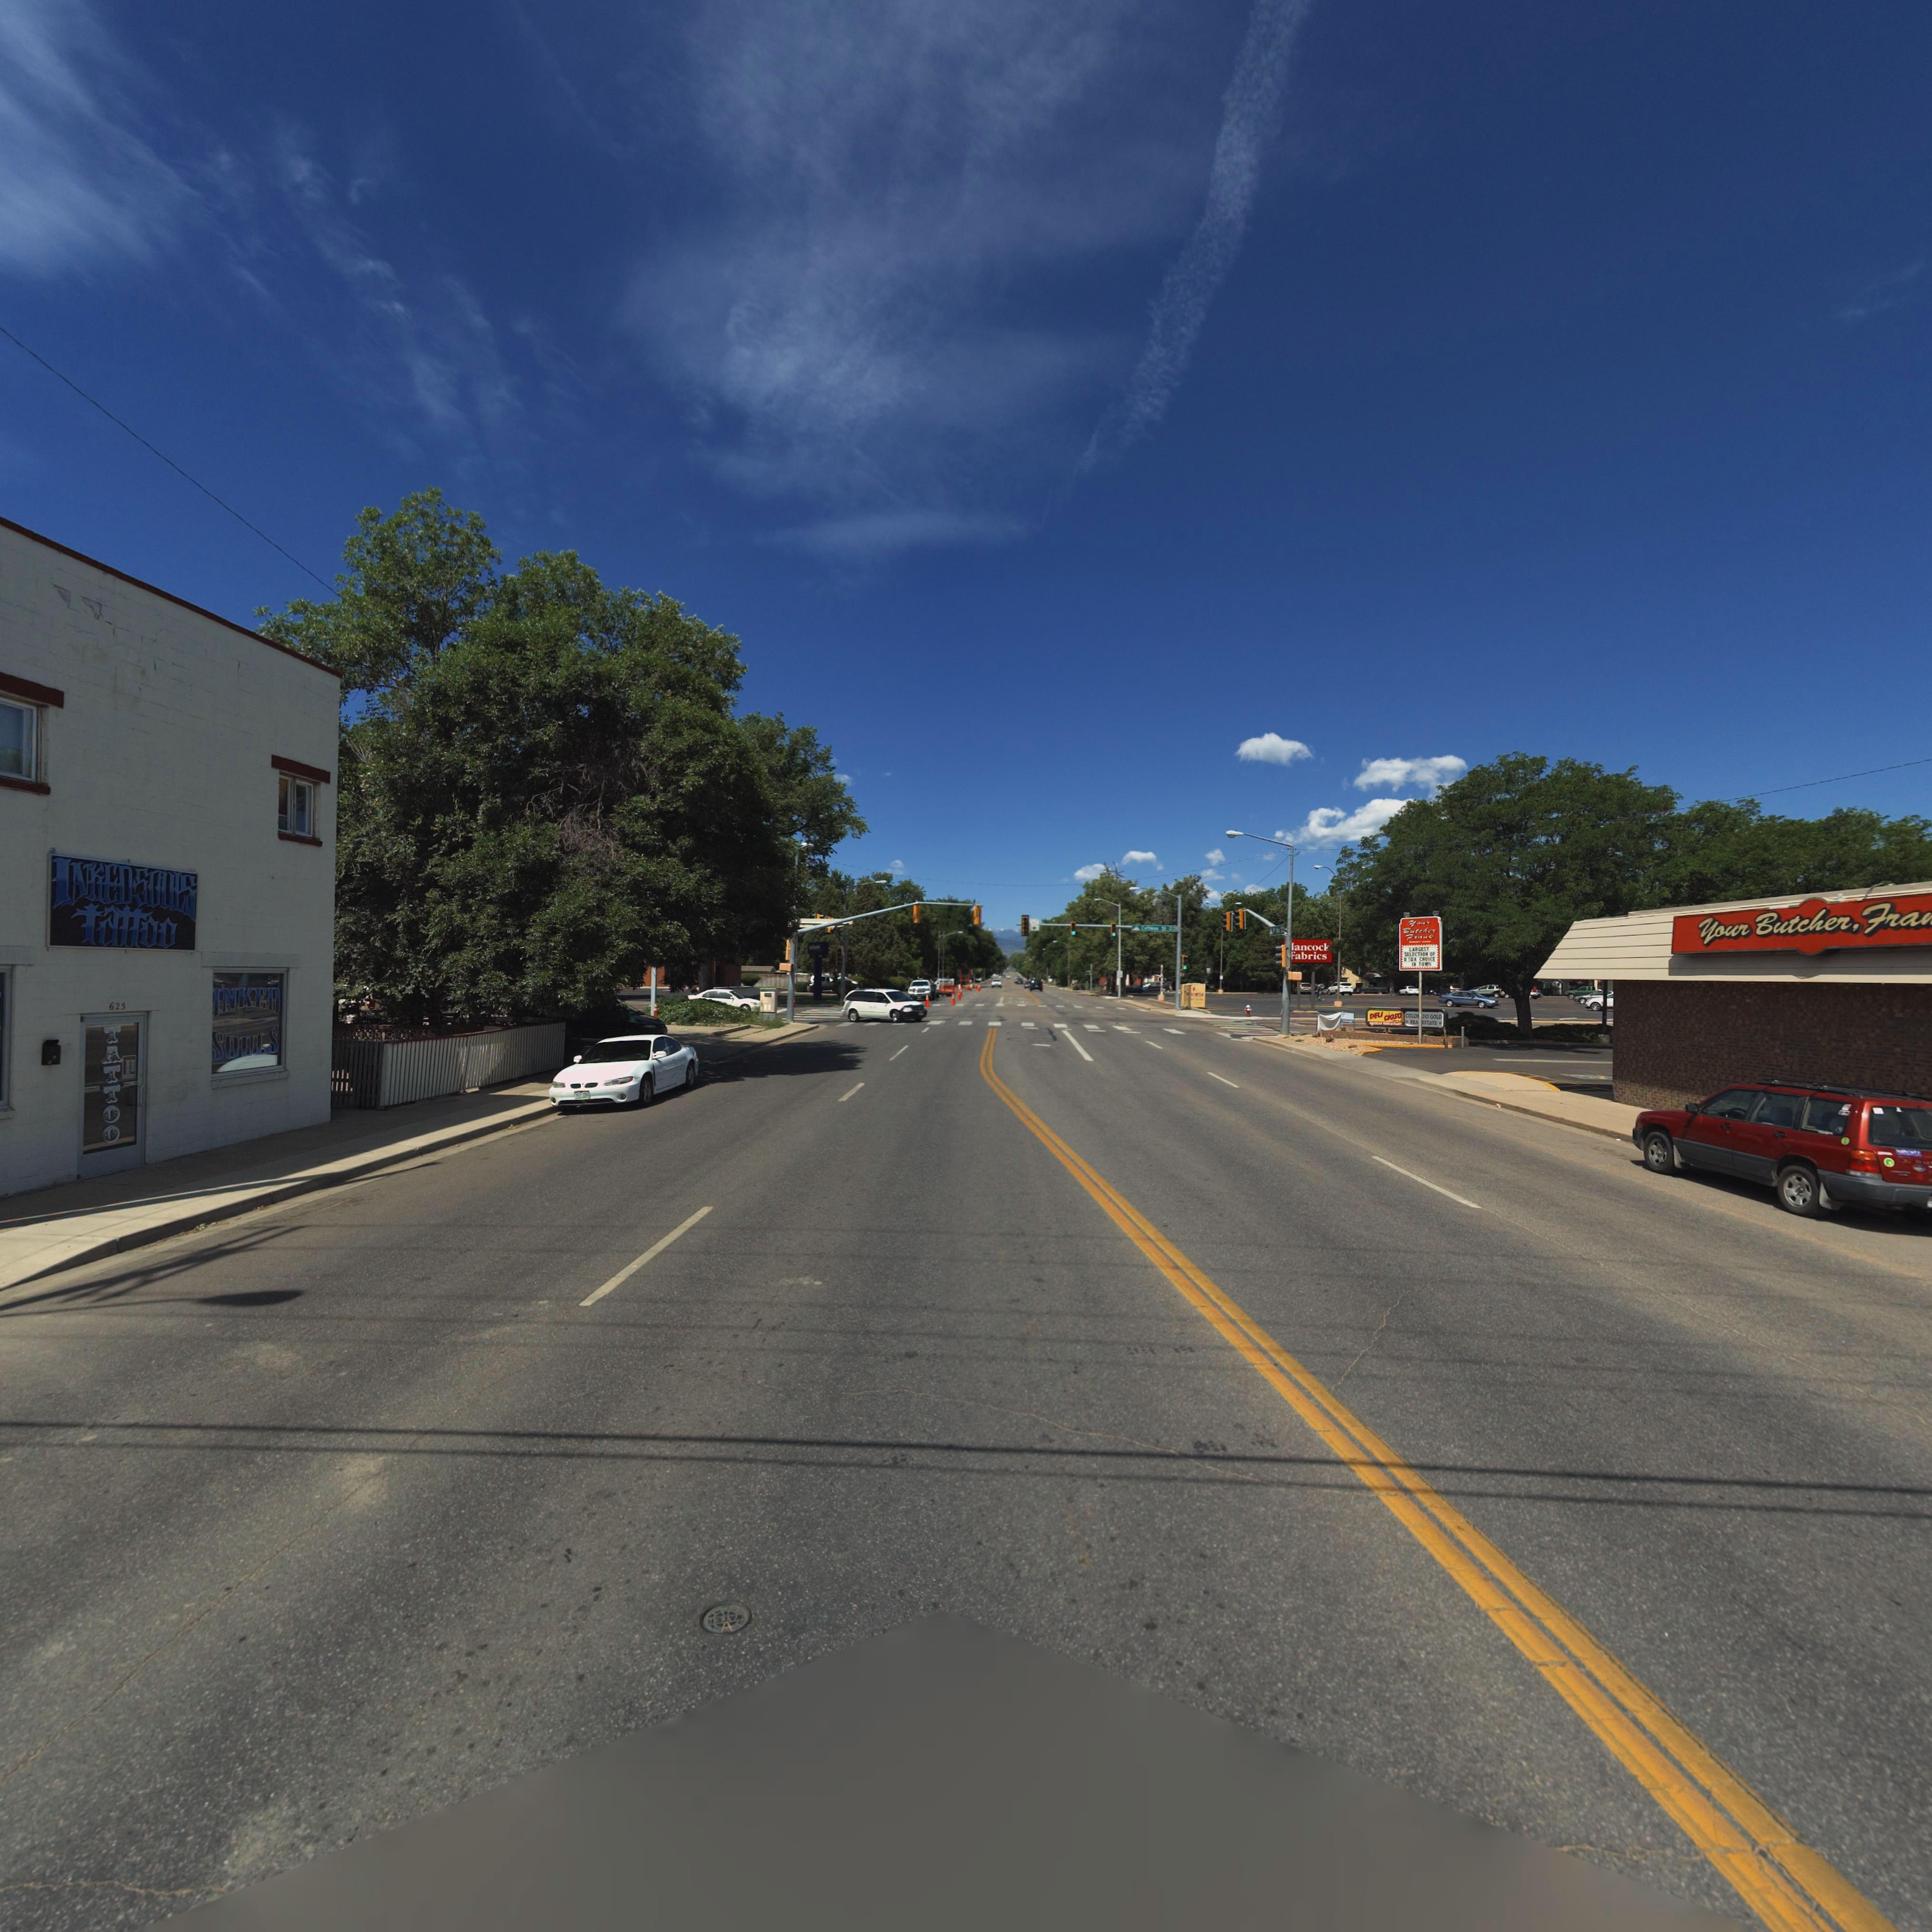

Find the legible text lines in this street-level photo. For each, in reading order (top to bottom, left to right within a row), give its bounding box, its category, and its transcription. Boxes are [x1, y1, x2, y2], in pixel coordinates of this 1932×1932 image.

[49, 854, 198, 924] BusinessName: I*KED*SOU**
[69, 902, 179, 949] BusinessName: TaTTOO
[1140, 926, 1166, 931] StreetName: C****** S*
[1402, 927, 1436, 934] BusinessName: Butch**
[1408, 919, 1430, 927] BusinessName: Yo*r
[1697, 900, 1922, 946] BusinessName: Your Butcher, Fra
[1405, 933, 1434, 941] BusinessName: ****k
[1294, 942, 1330, 951] BusinessName: ancoc*
[1290, 951, 1327, 959] BusinessName: Fabrics
[108, 1001, 126, 1011] StreetNumber: 625
[212, 986, 280, 1019] BusinessName: INKED
[1369, 1011, 1383, 1019] BusinessName: D*LI
[1383, 1012, 1402, 1022] BusinessName: CIOSO
[1405, 1013, 1442, 1019] BusinessName: *O*O**DO GOLD
[1410, 1019, 1437, 1025] BusinessName: **A* ES*ATE
[211, 1024, 280, 1061] BusinessName: SOULS
[100, 1024, 123, 1144] BusinessName: TATTOO